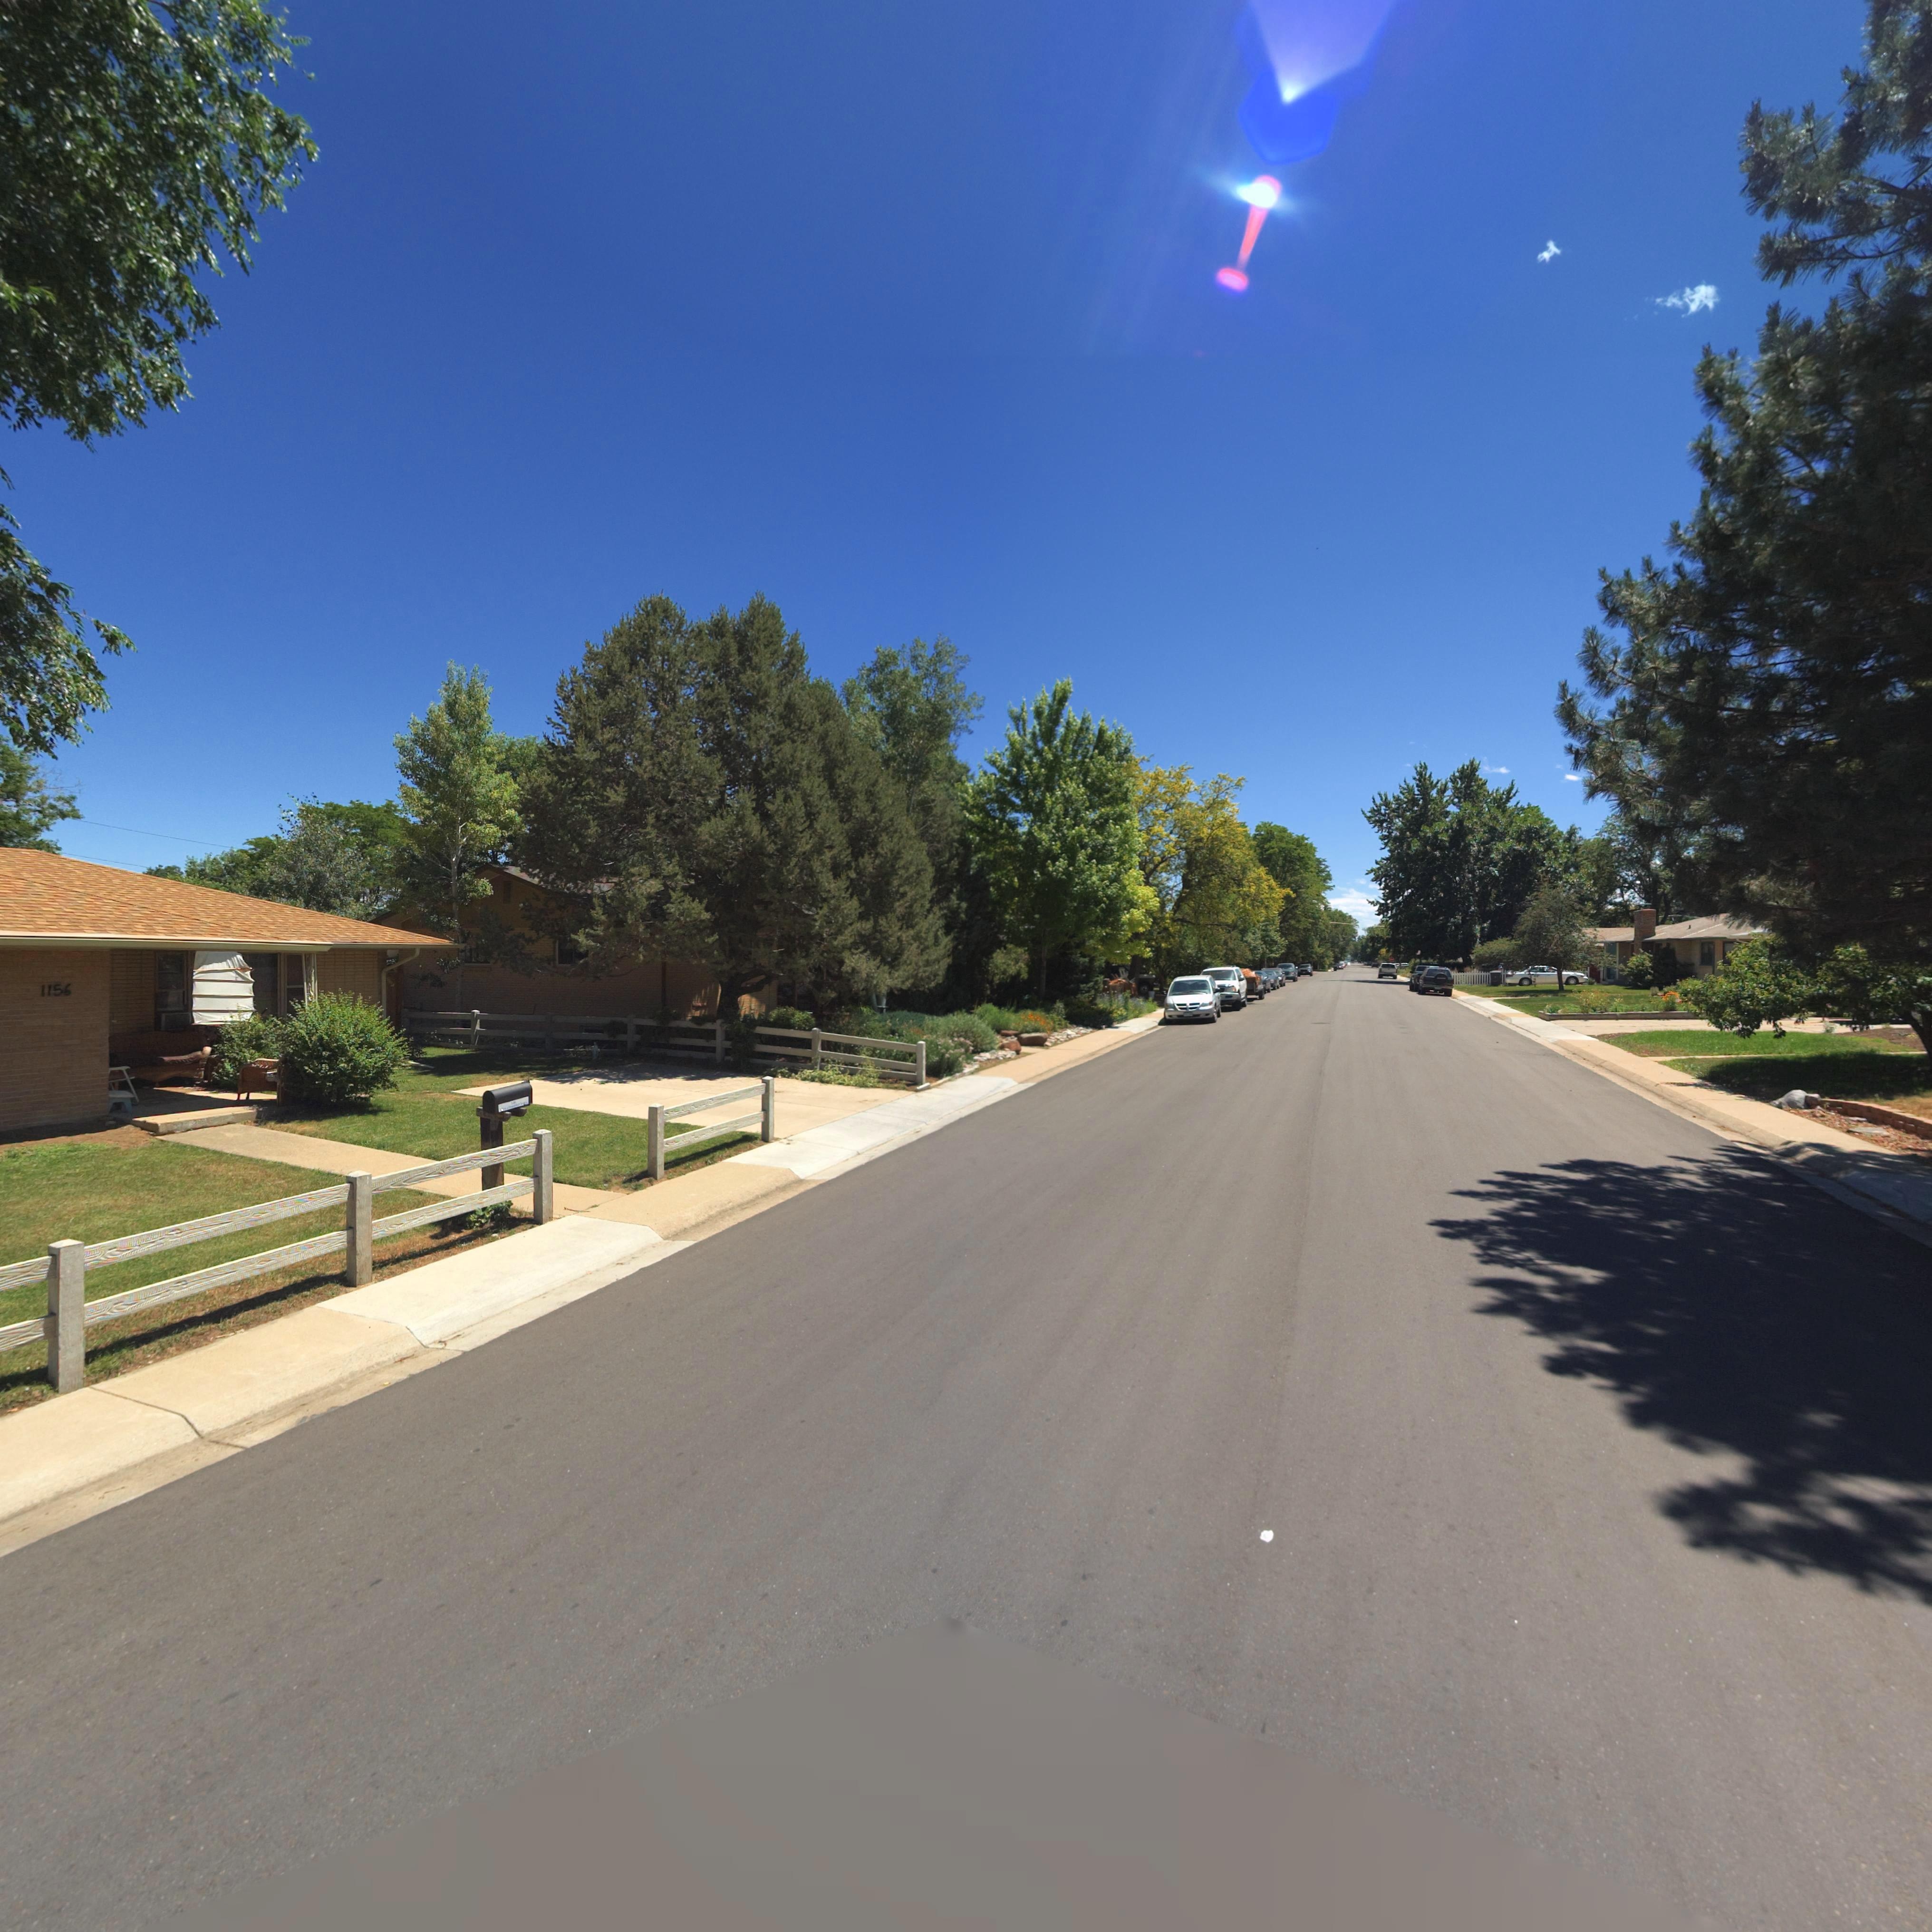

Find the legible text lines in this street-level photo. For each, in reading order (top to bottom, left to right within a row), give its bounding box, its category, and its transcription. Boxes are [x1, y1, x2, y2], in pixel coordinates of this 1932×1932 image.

[40, 982, 72, 997] StreetNumber: 1156